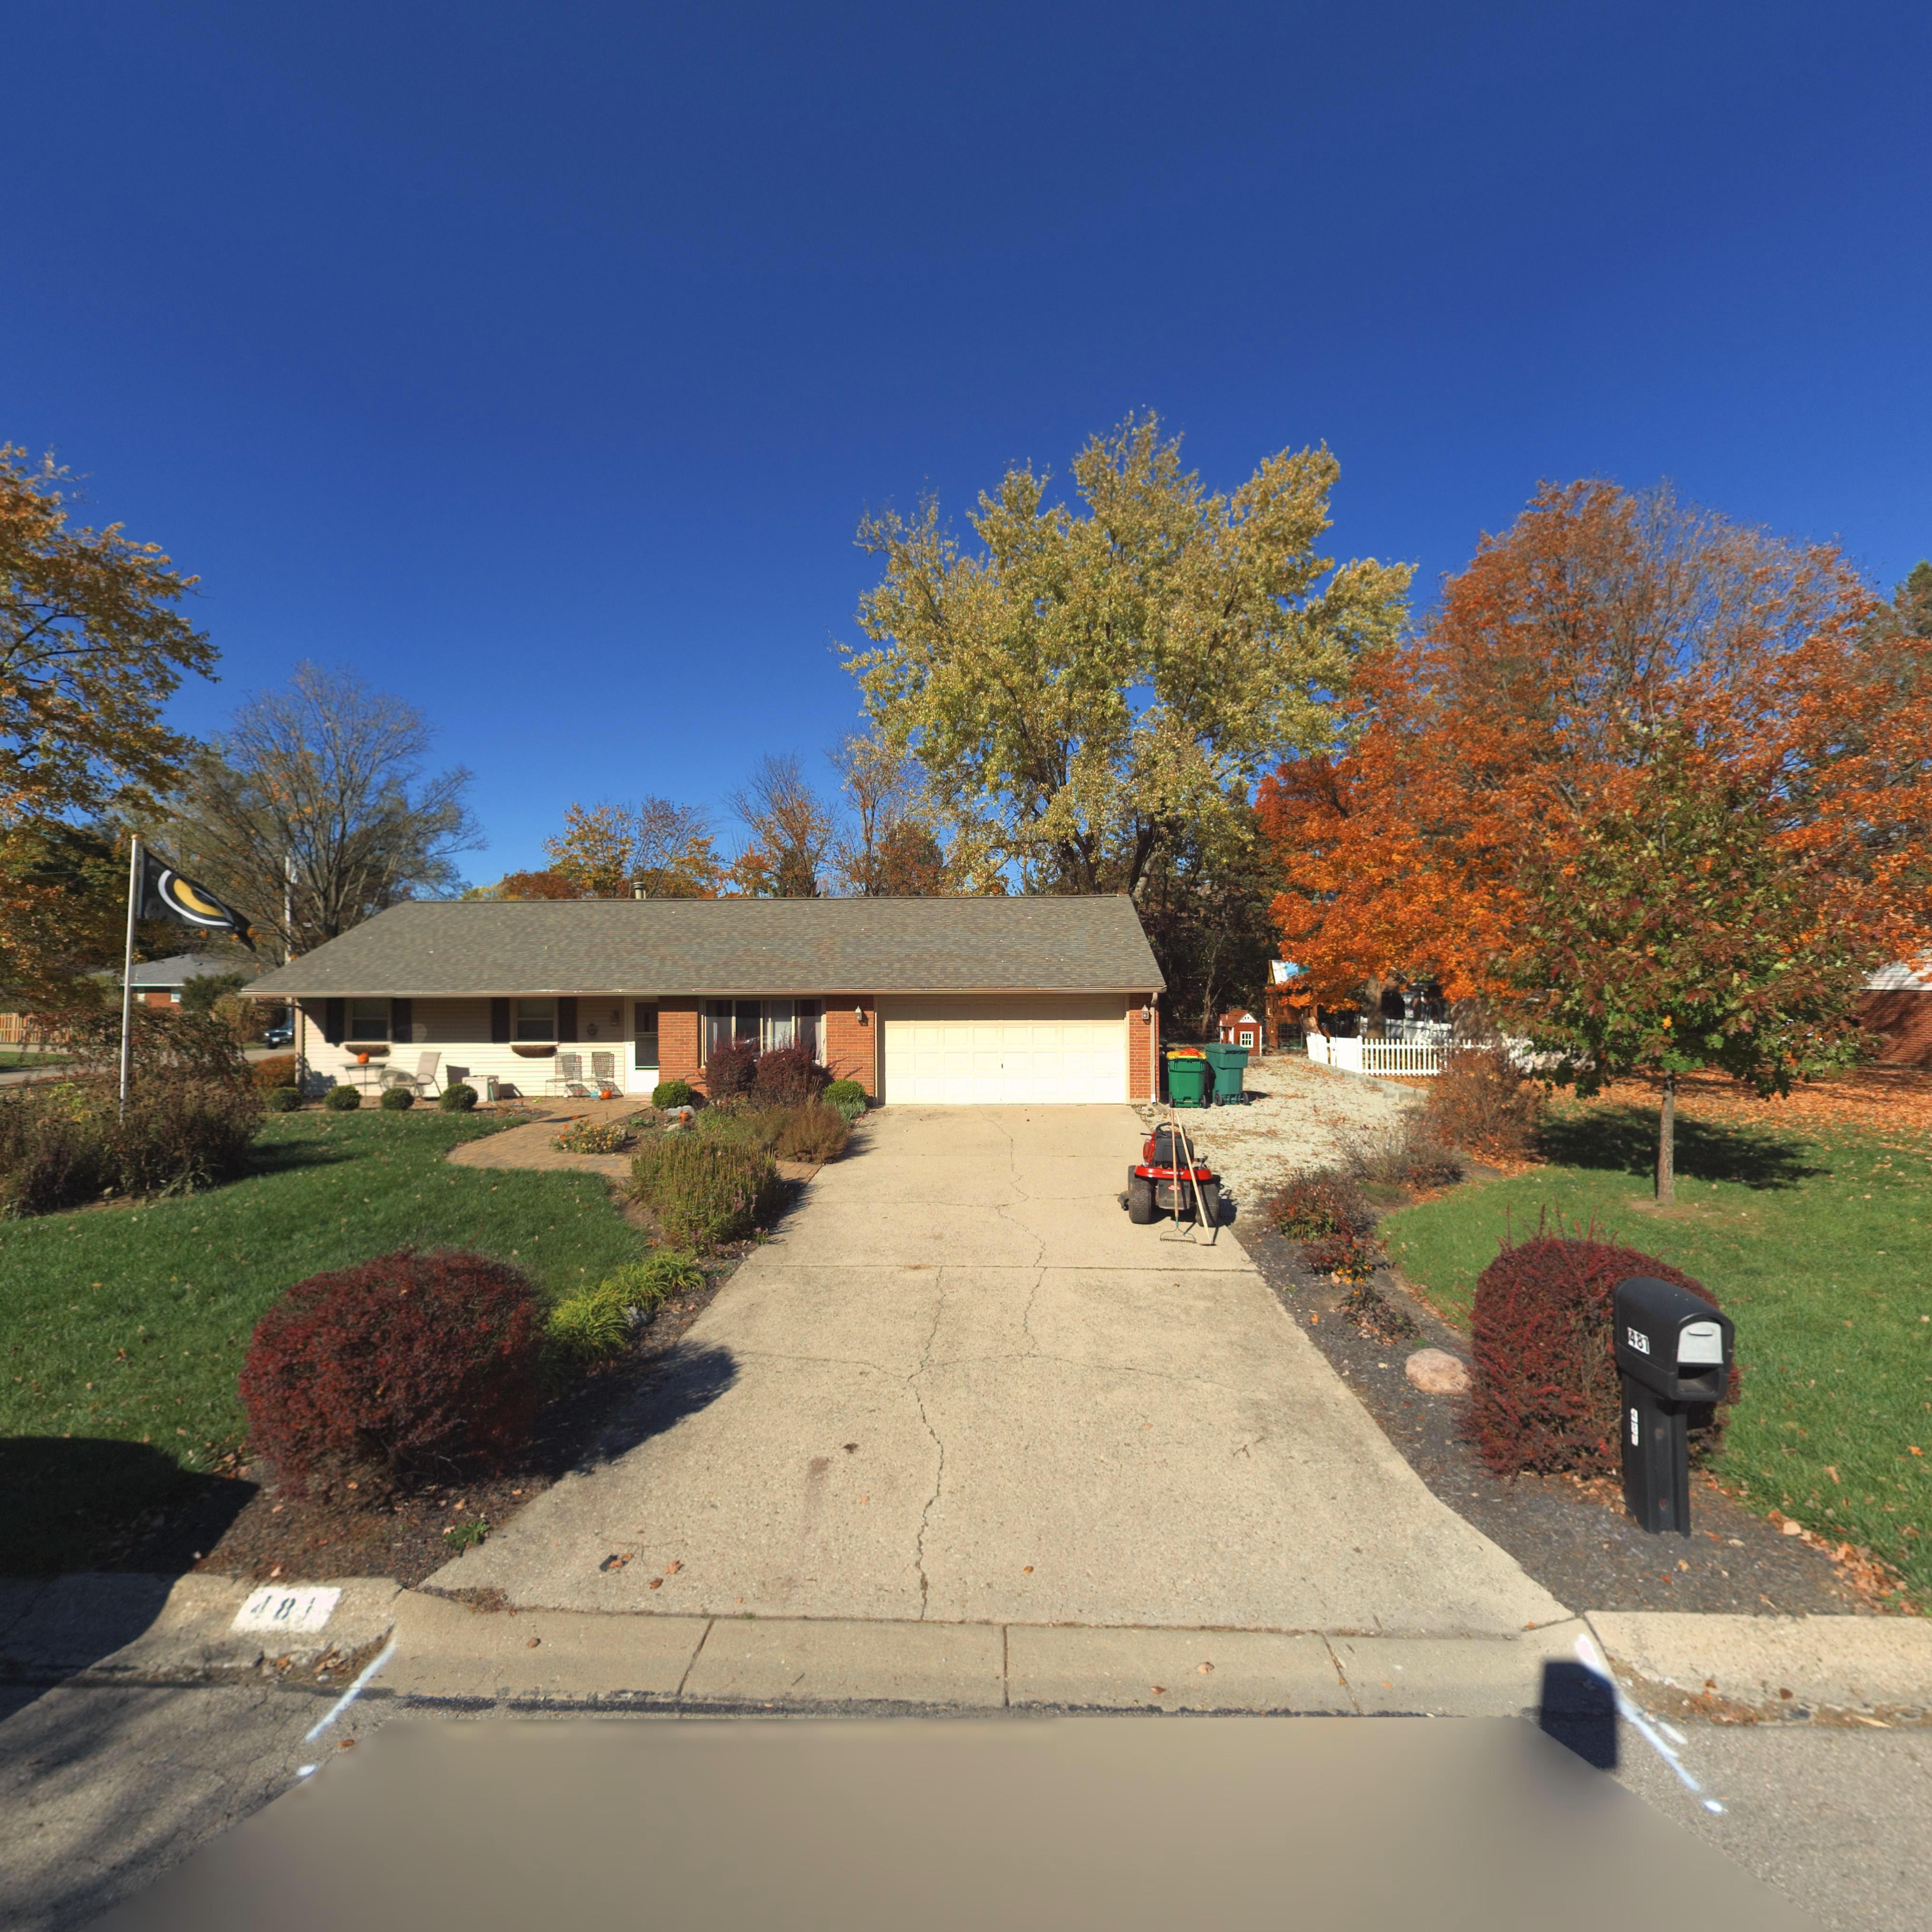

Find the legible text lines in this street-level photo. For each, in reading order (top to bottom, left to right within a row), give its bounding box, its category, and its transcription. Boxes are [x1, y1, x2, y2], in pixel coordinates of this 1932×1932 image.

[1628, 1329, 1649, 1353] StreetNumber: 481
[1631, 1408, 1638, 1445] StreetNumber: 481
[249, 1594, 319, 1623] StreetNumber: 481